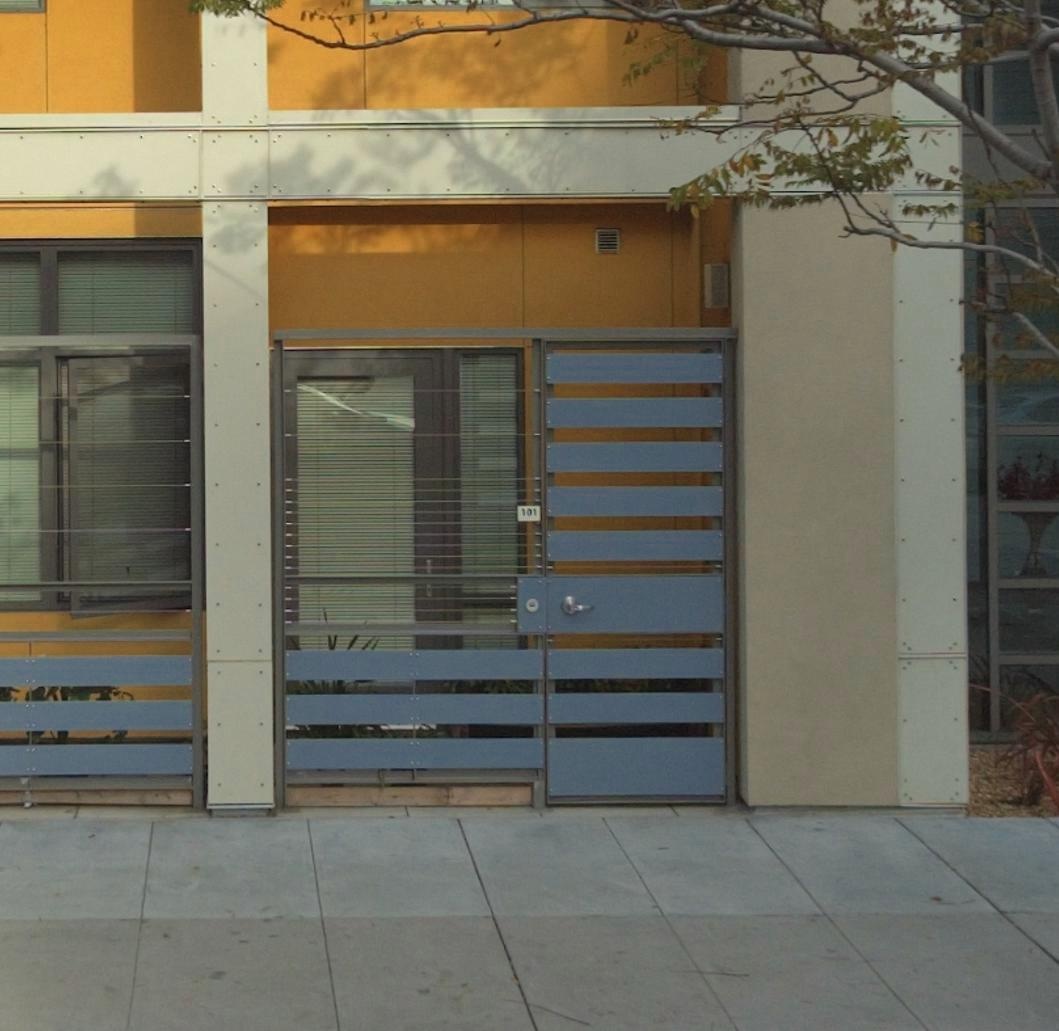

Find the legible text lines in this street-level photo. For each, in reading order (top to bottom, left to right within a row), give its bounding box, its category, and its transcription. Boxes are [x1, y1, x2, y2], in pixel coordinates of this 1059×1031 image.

[519, 505, 539, 519] StreetNumber: 101